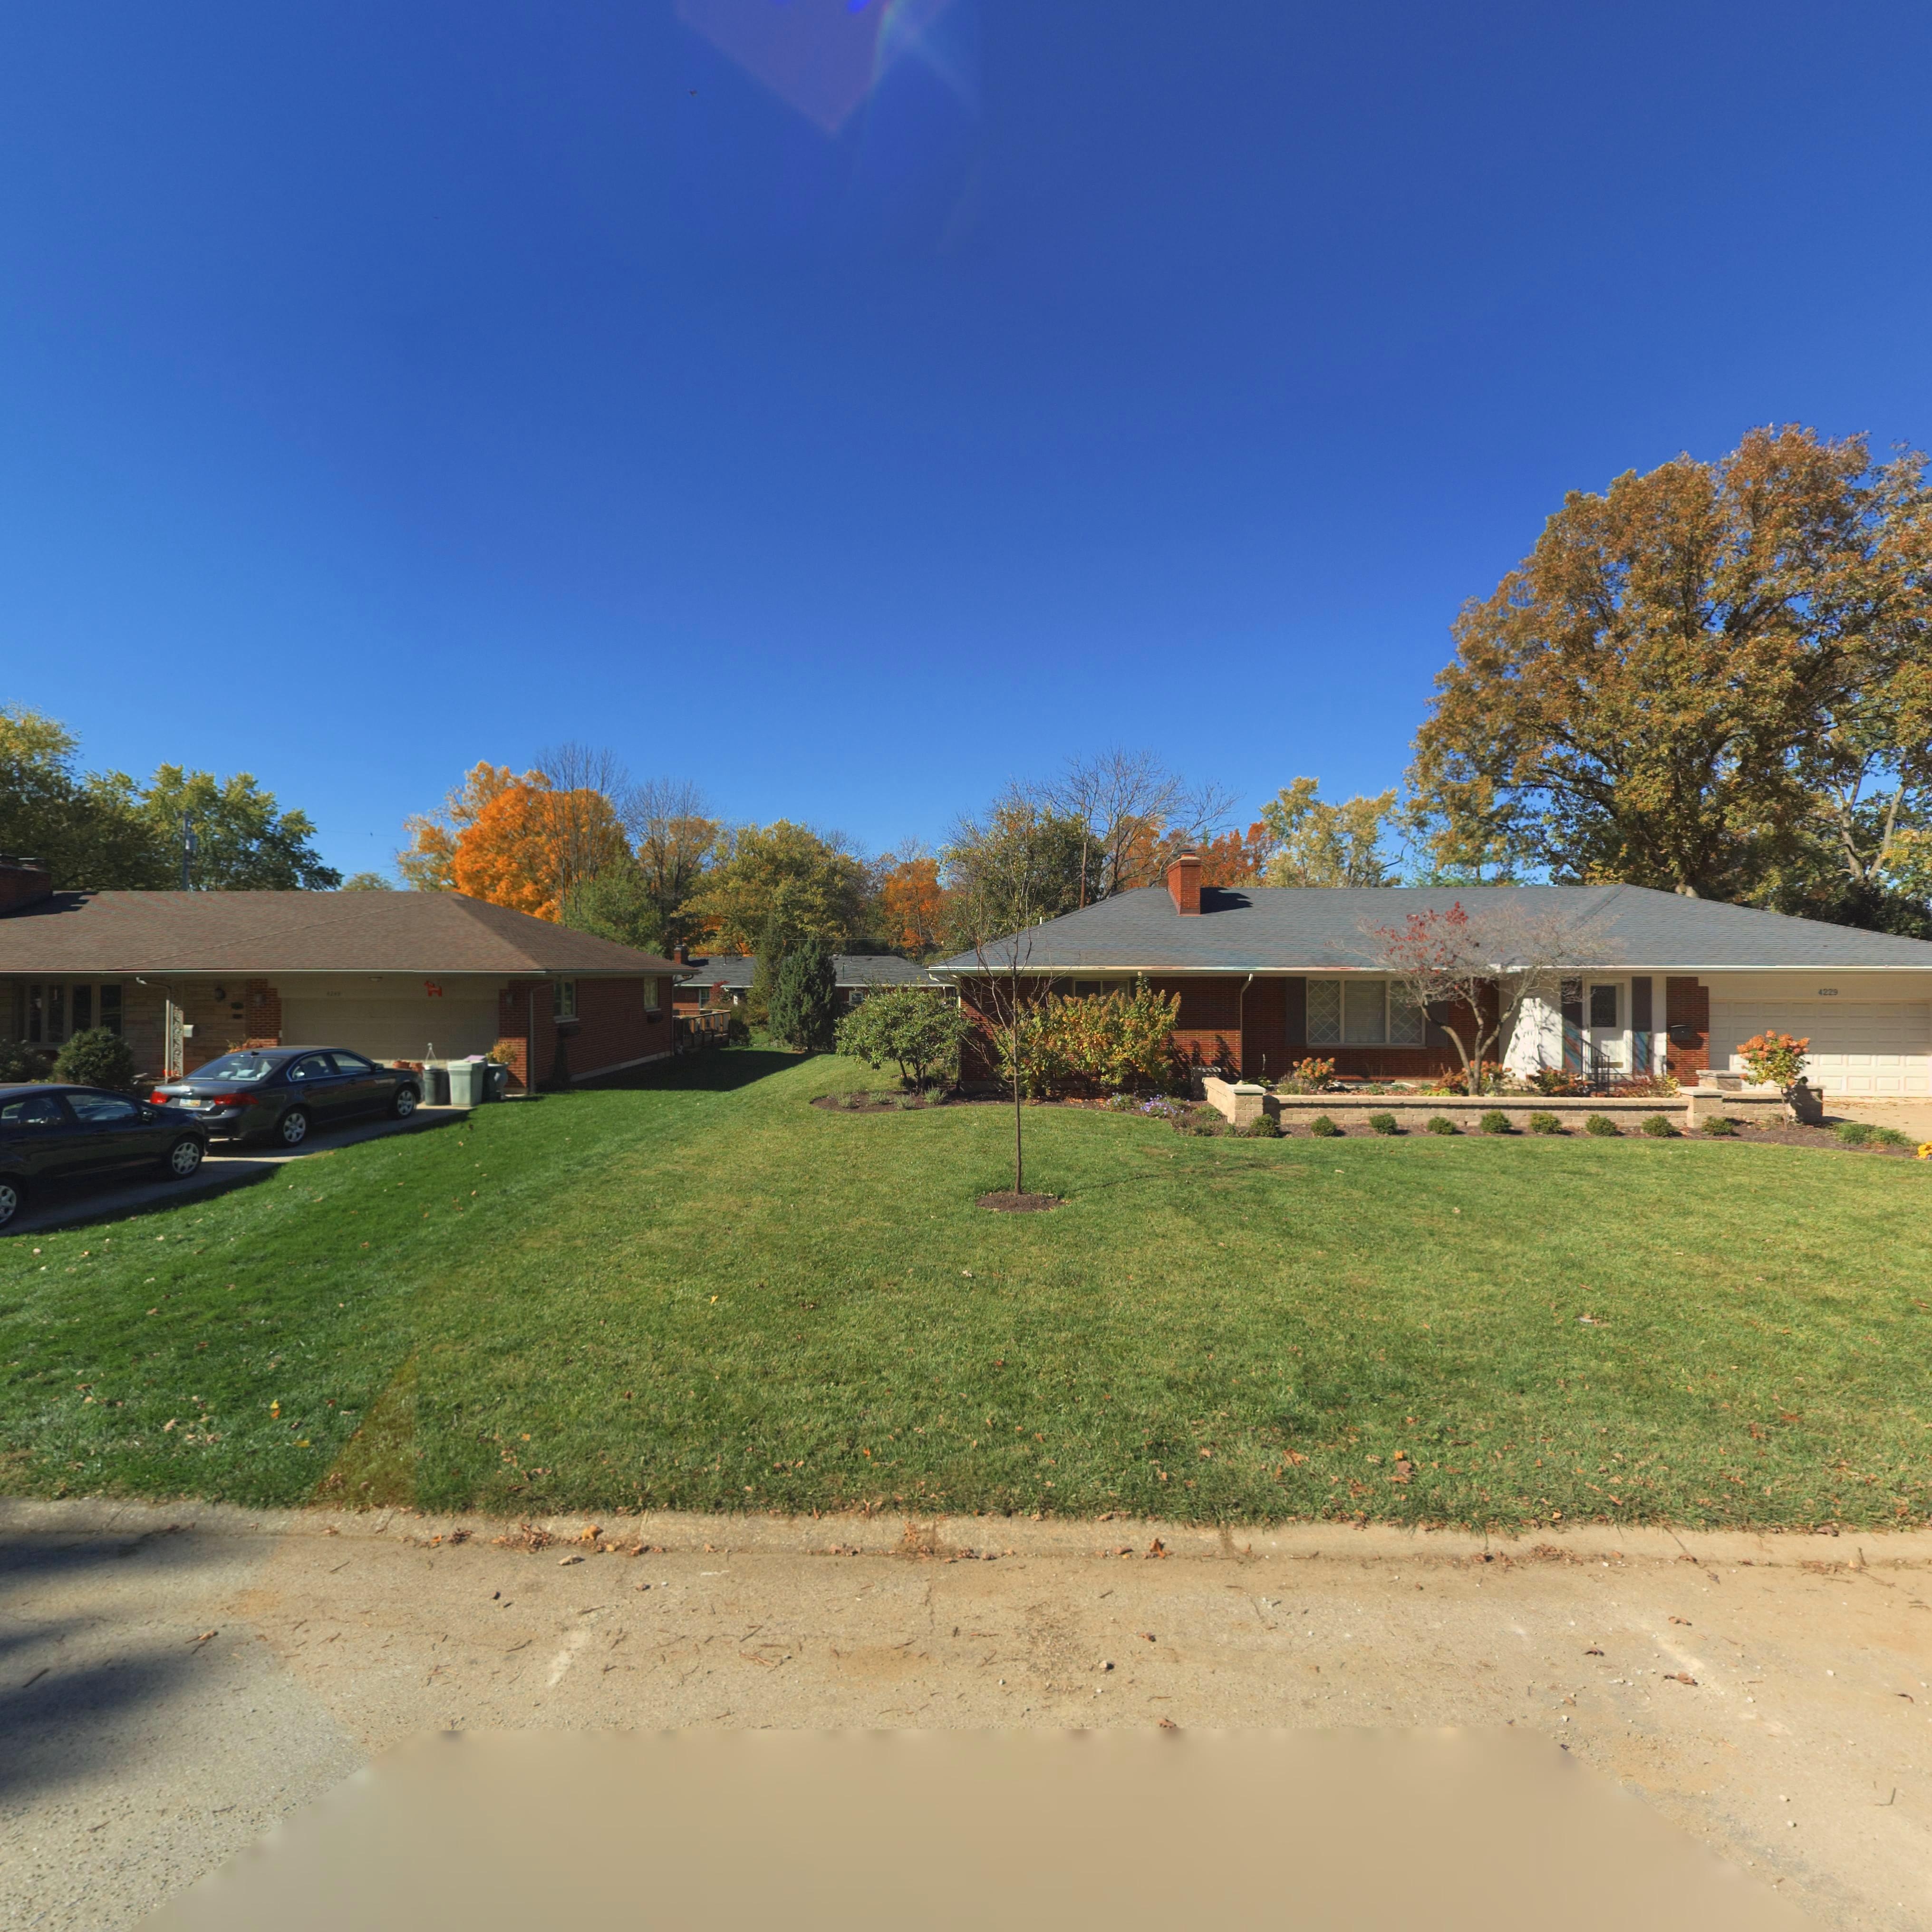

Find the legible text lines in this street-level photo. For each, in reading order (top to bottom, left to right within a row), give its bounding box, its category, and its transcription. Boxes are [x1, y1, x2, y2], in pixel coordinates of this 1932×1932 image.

[326, 990, 342, 997] StreetNumber: 4249
[1817, 988, 1838, 996] StreetNumber: 4229